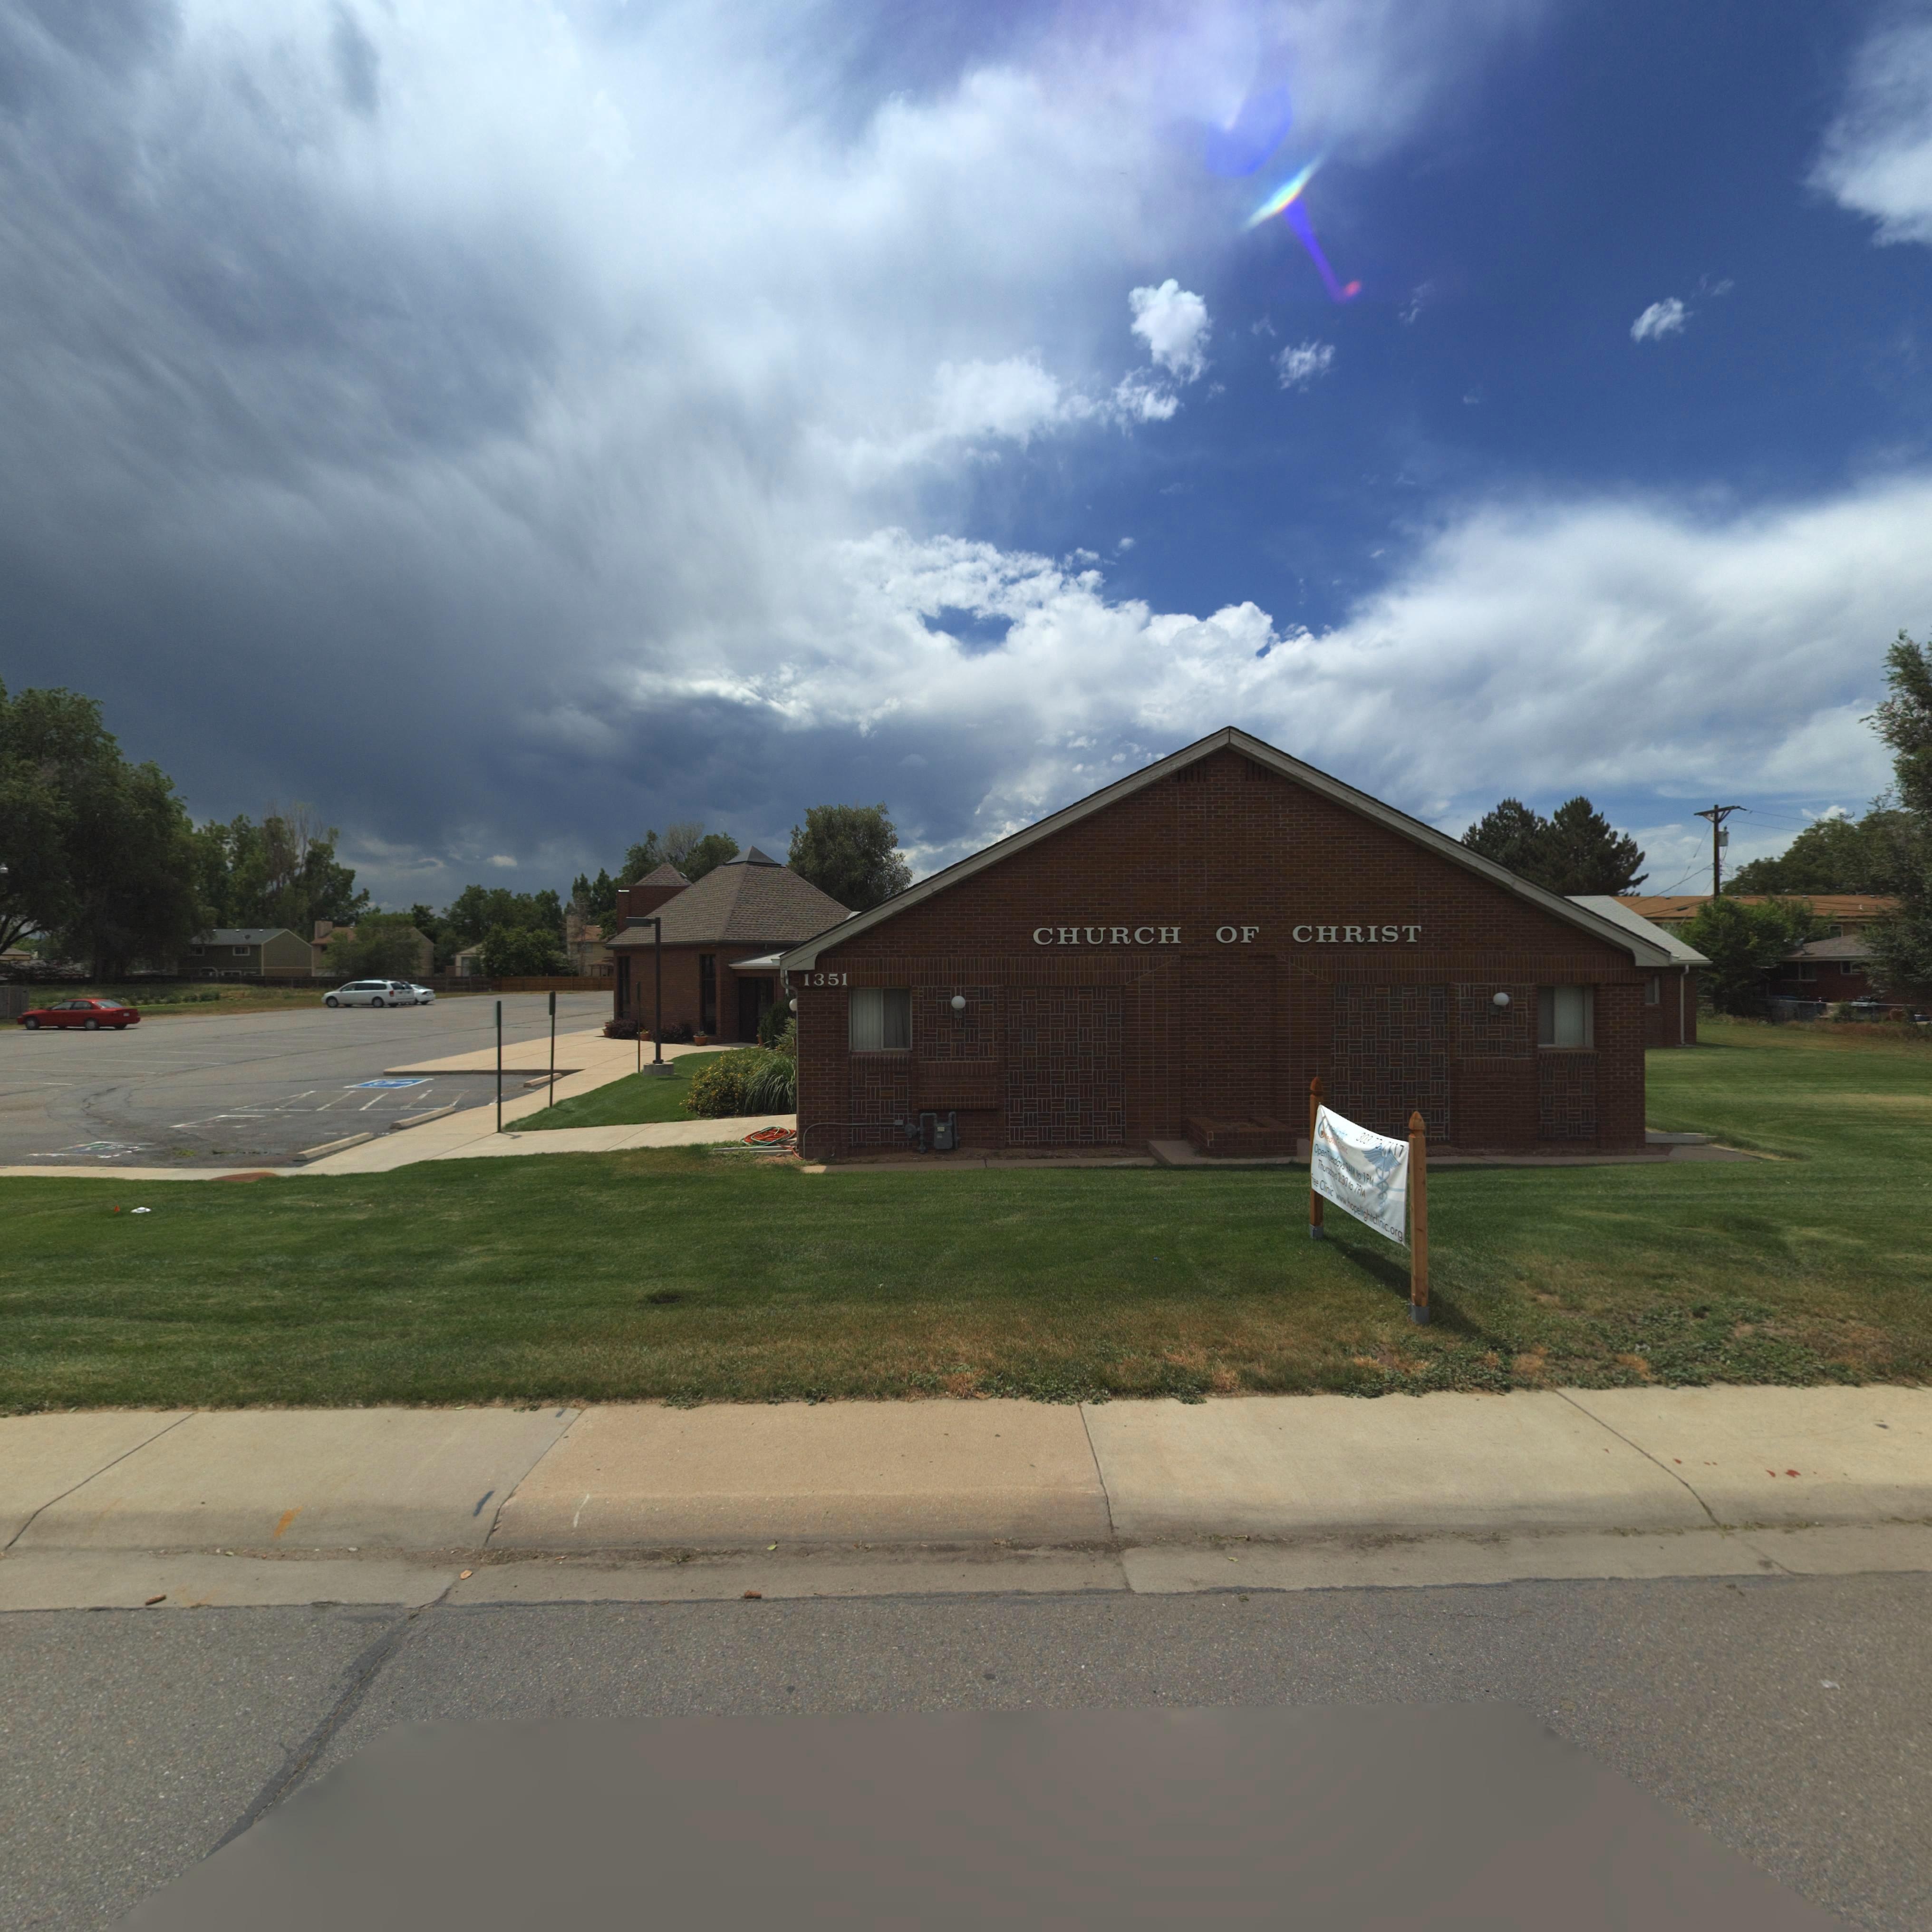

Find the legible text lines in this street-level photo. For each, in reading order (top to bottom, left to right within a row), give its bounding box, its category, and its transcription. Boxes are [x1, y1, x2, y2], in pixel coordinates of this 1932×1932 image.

[1032, 925, 1421, 946] BusinessName: CHURCH OF CHRIST
[803, 973, 848, 986] StreetNumber: 1351